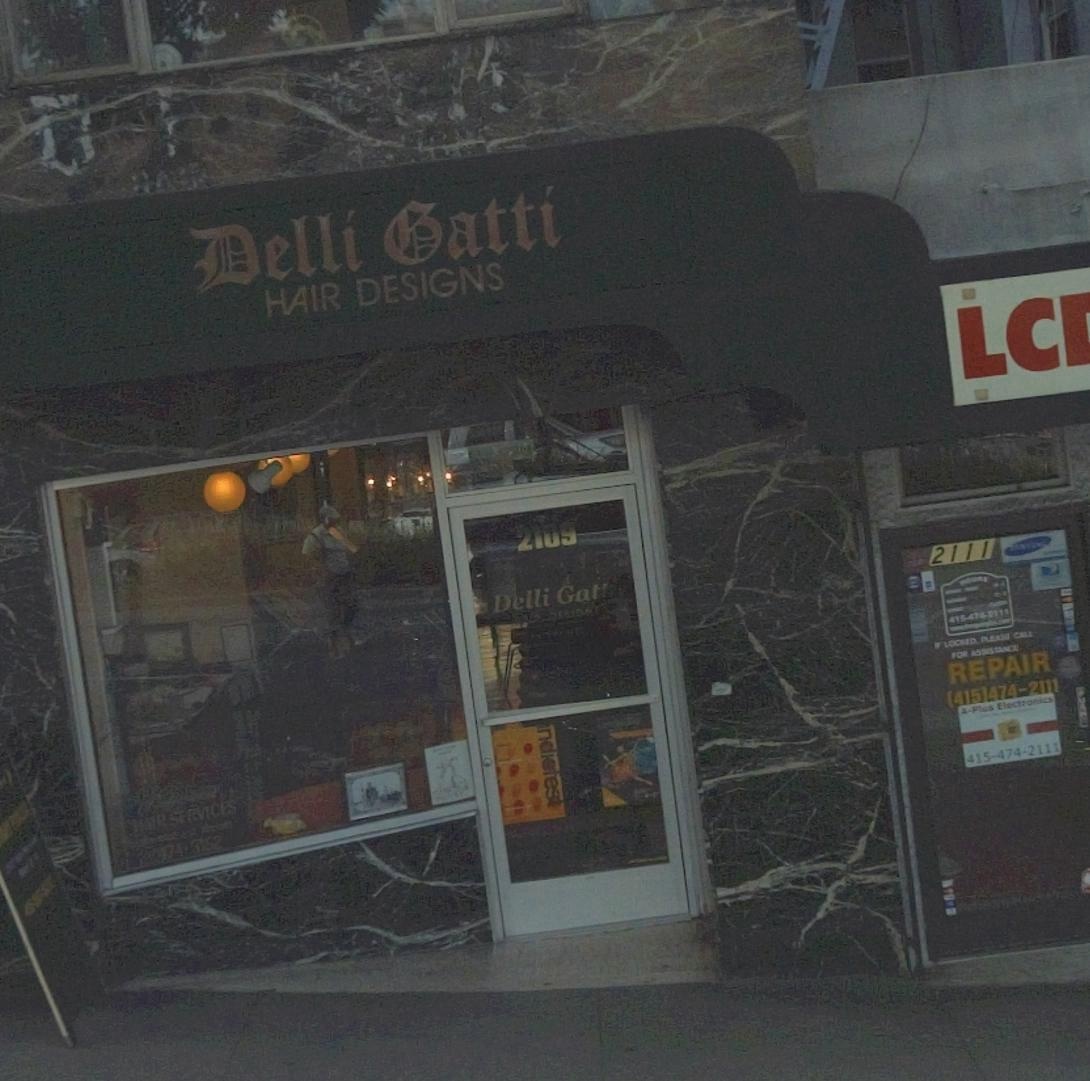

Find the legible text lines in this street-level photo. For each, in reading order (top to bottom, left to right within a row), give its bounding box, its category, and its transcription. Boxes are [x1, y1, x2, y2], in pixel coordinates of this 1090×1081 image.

[184, 178, 569, 297] BusinessName: Delli Gatti
[259, 257, 509, 324] BusinessName: HAIR DESIGNS
[951, 294, 1066, 383] BusinessName: LC
[511, 518, 581, 556] StreetNumber: 2109
[928, 537, 992, 567] StreetNumber: 2111
[490, 581, 601, 617] BusinessName: Delli Gal
[944, 648, 1055, 688] None: REPAIR
[944, 674, 1063, 711] None: (415)474-2111
[534, 726, 555, 743] None: n
[964, 739, 1062, 767] None: 415-474-2111
[193, 797, 240, 824] None: VICES
[201, 832, 225, 855] None: 52